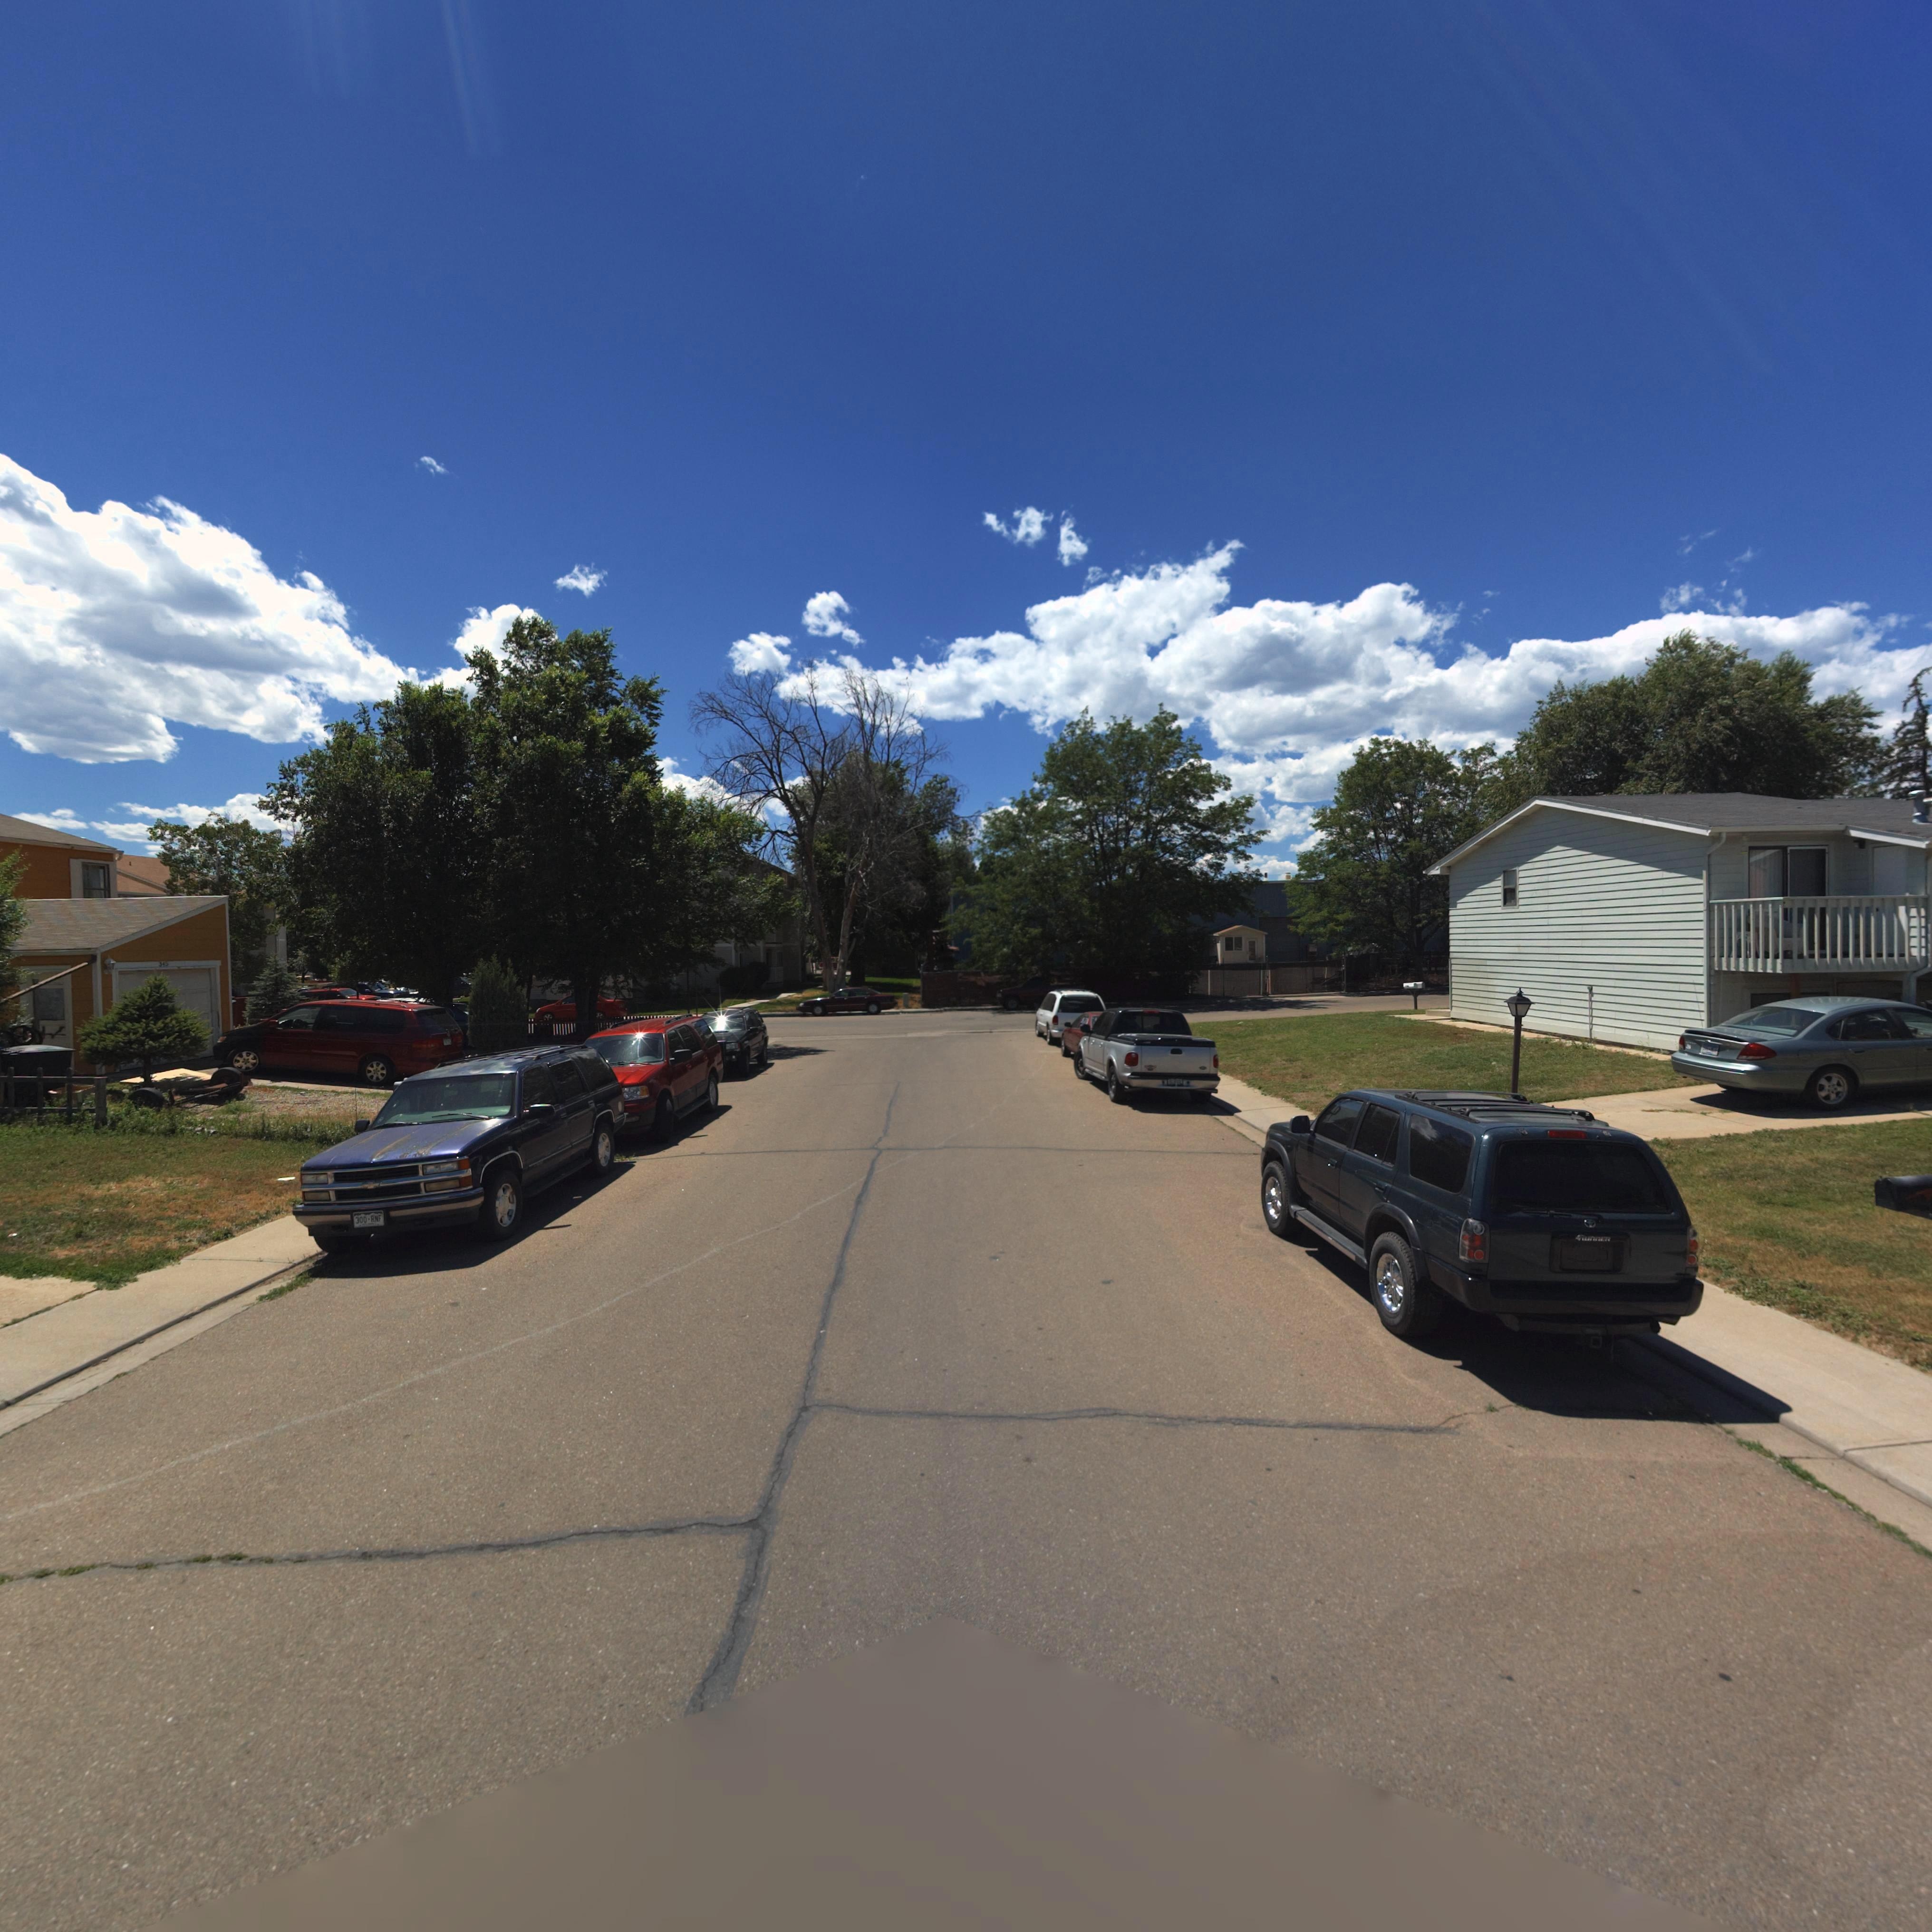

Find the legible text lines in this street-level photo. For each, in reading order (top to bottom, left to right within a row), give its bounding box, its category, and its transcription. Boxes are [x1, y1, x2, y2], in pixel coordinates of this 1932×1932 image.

[158, 961, 169, 966] StreetNumber: 34*